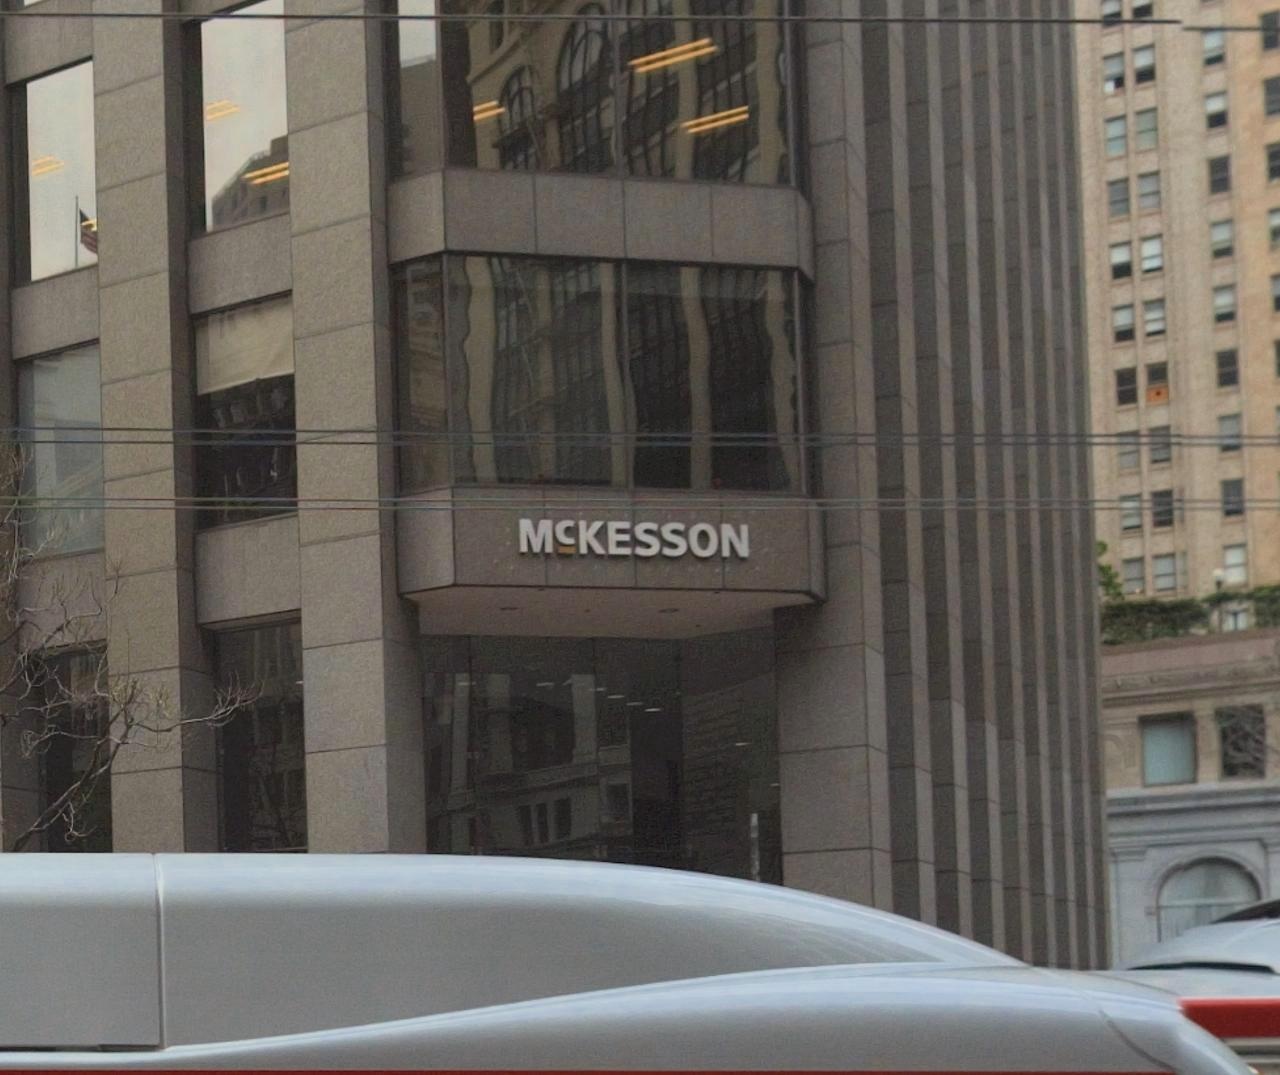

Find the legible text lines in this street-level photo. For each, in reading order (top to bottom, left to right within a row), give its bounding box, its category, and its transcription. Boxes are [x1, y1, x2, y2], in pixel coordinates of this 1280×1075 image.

[515, 515, 752, 562] BusinessName: McKESSON